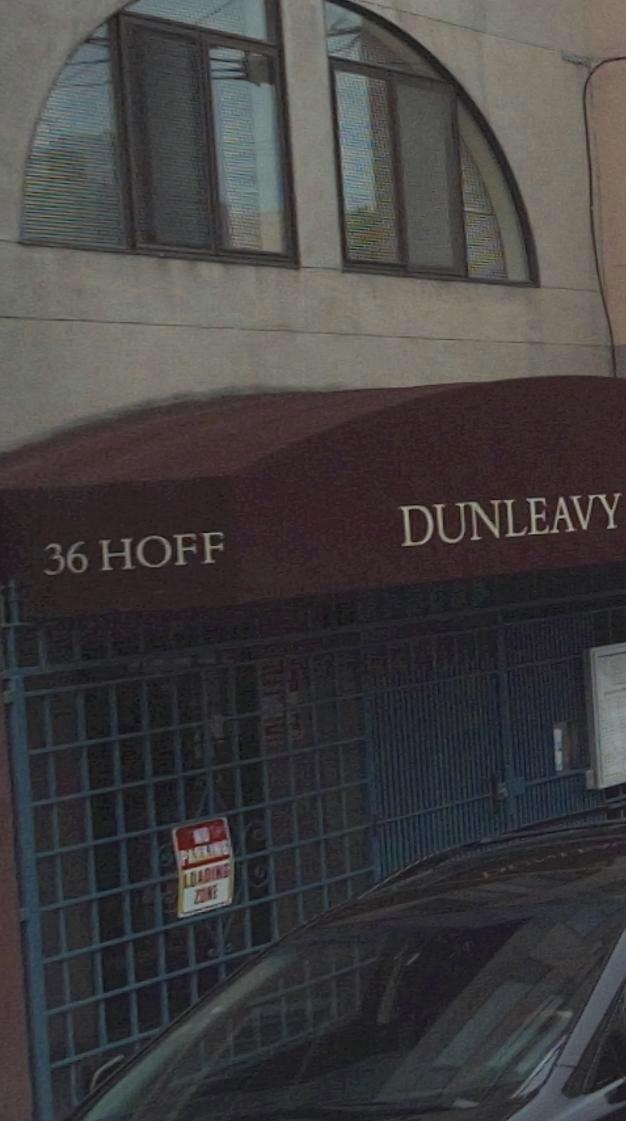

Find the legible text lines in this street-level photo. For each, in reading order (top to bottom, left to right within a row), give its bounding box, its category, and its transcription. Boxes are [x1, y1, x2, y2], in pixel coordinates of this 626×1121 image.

[397, 491, 623, 550] BusinessName: DUNLEAVY
[40, 538, 91, 578] StreetNumber: 36
[96, 530, 225, 573] StreetName: HOFF
[191, 825, 212, 846] None: NO
[179, 838, 230, 868] None: PARKING
[181, 860, 231, 890] None: LOADING
[192, 882, 219, 906] None: ZONE